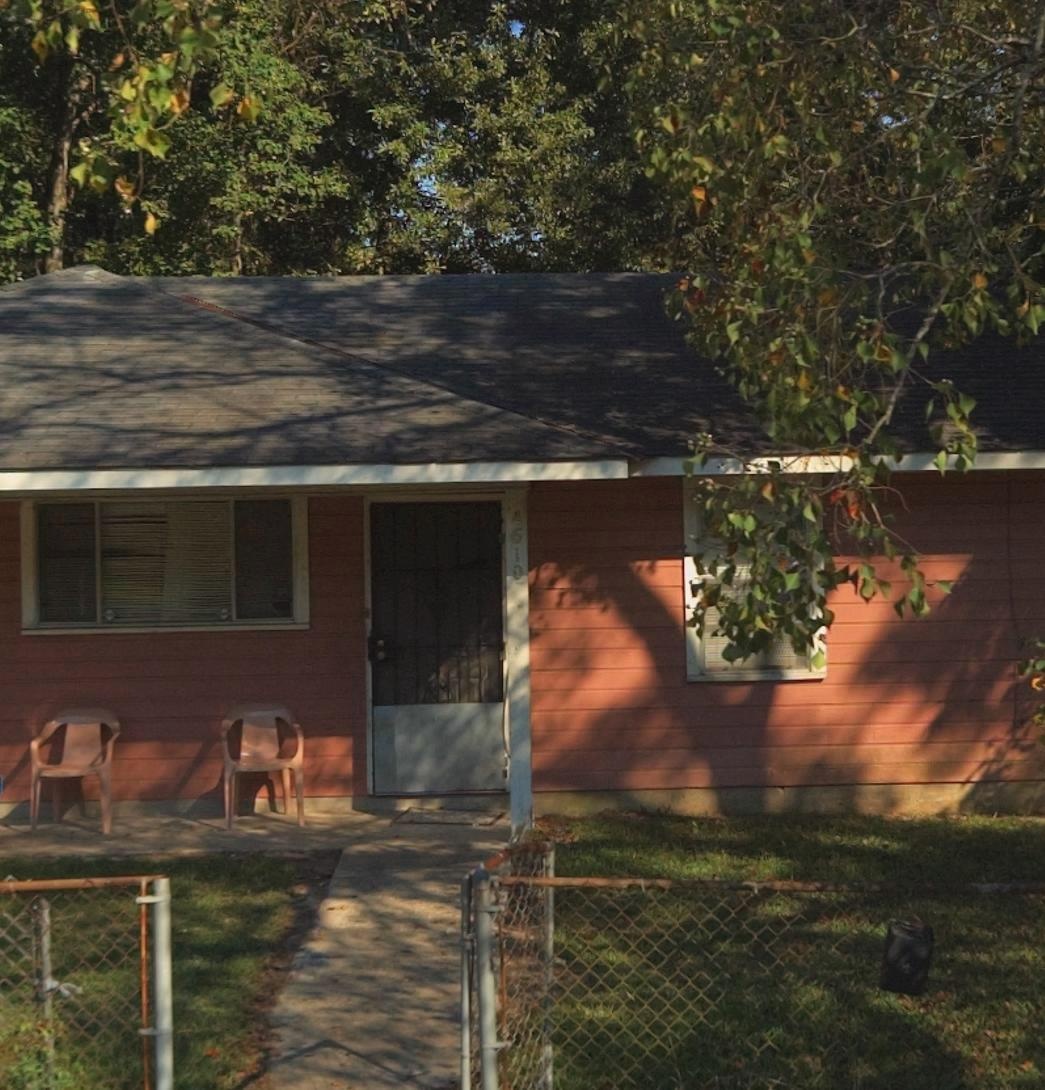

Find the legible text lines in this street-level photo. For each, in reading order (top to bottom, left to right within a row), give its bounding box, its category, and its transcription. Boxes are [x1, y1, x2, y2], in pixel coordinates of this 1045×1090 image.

[510, 508, 524, 581] StreetNumber: 4610